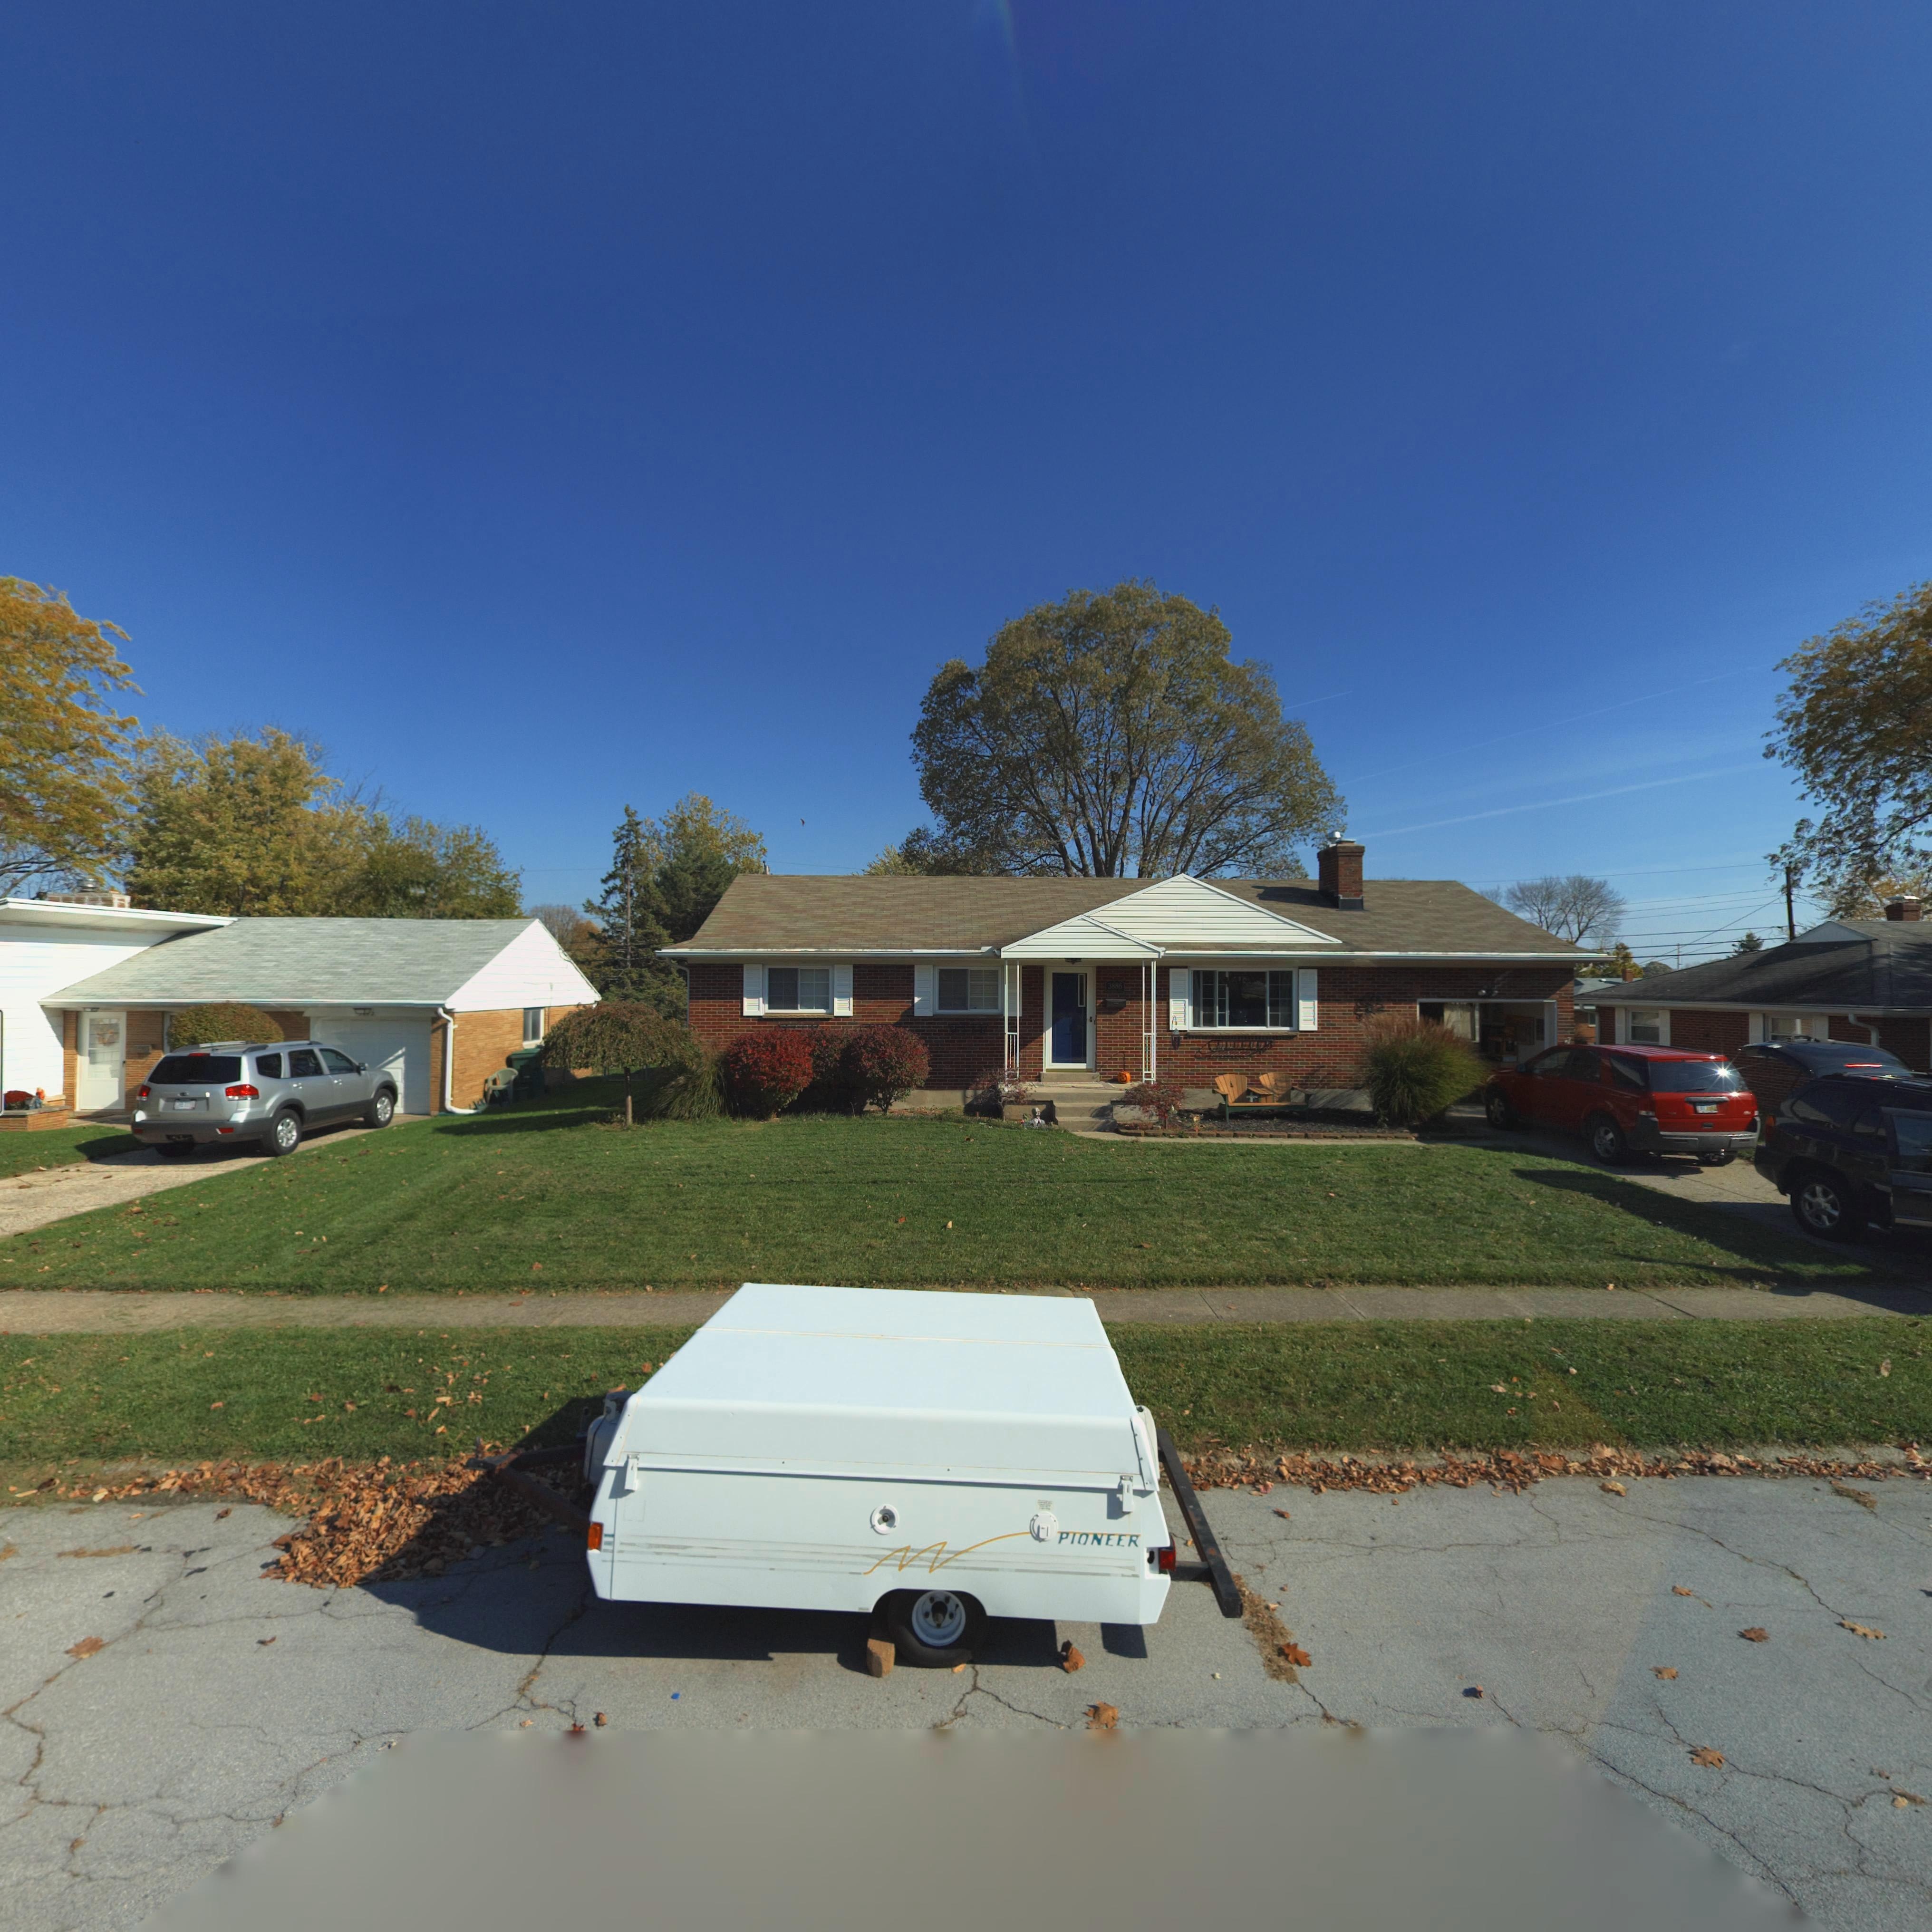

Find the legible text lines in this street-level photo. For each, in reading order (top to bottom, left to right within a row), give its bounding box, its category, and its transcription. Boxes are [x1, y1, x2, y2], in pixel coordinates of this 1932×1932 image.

[1108, 982, 1123, 989] StreetNumber: 3886
[1057, 1531, 1140, 1548] None: PIONEER